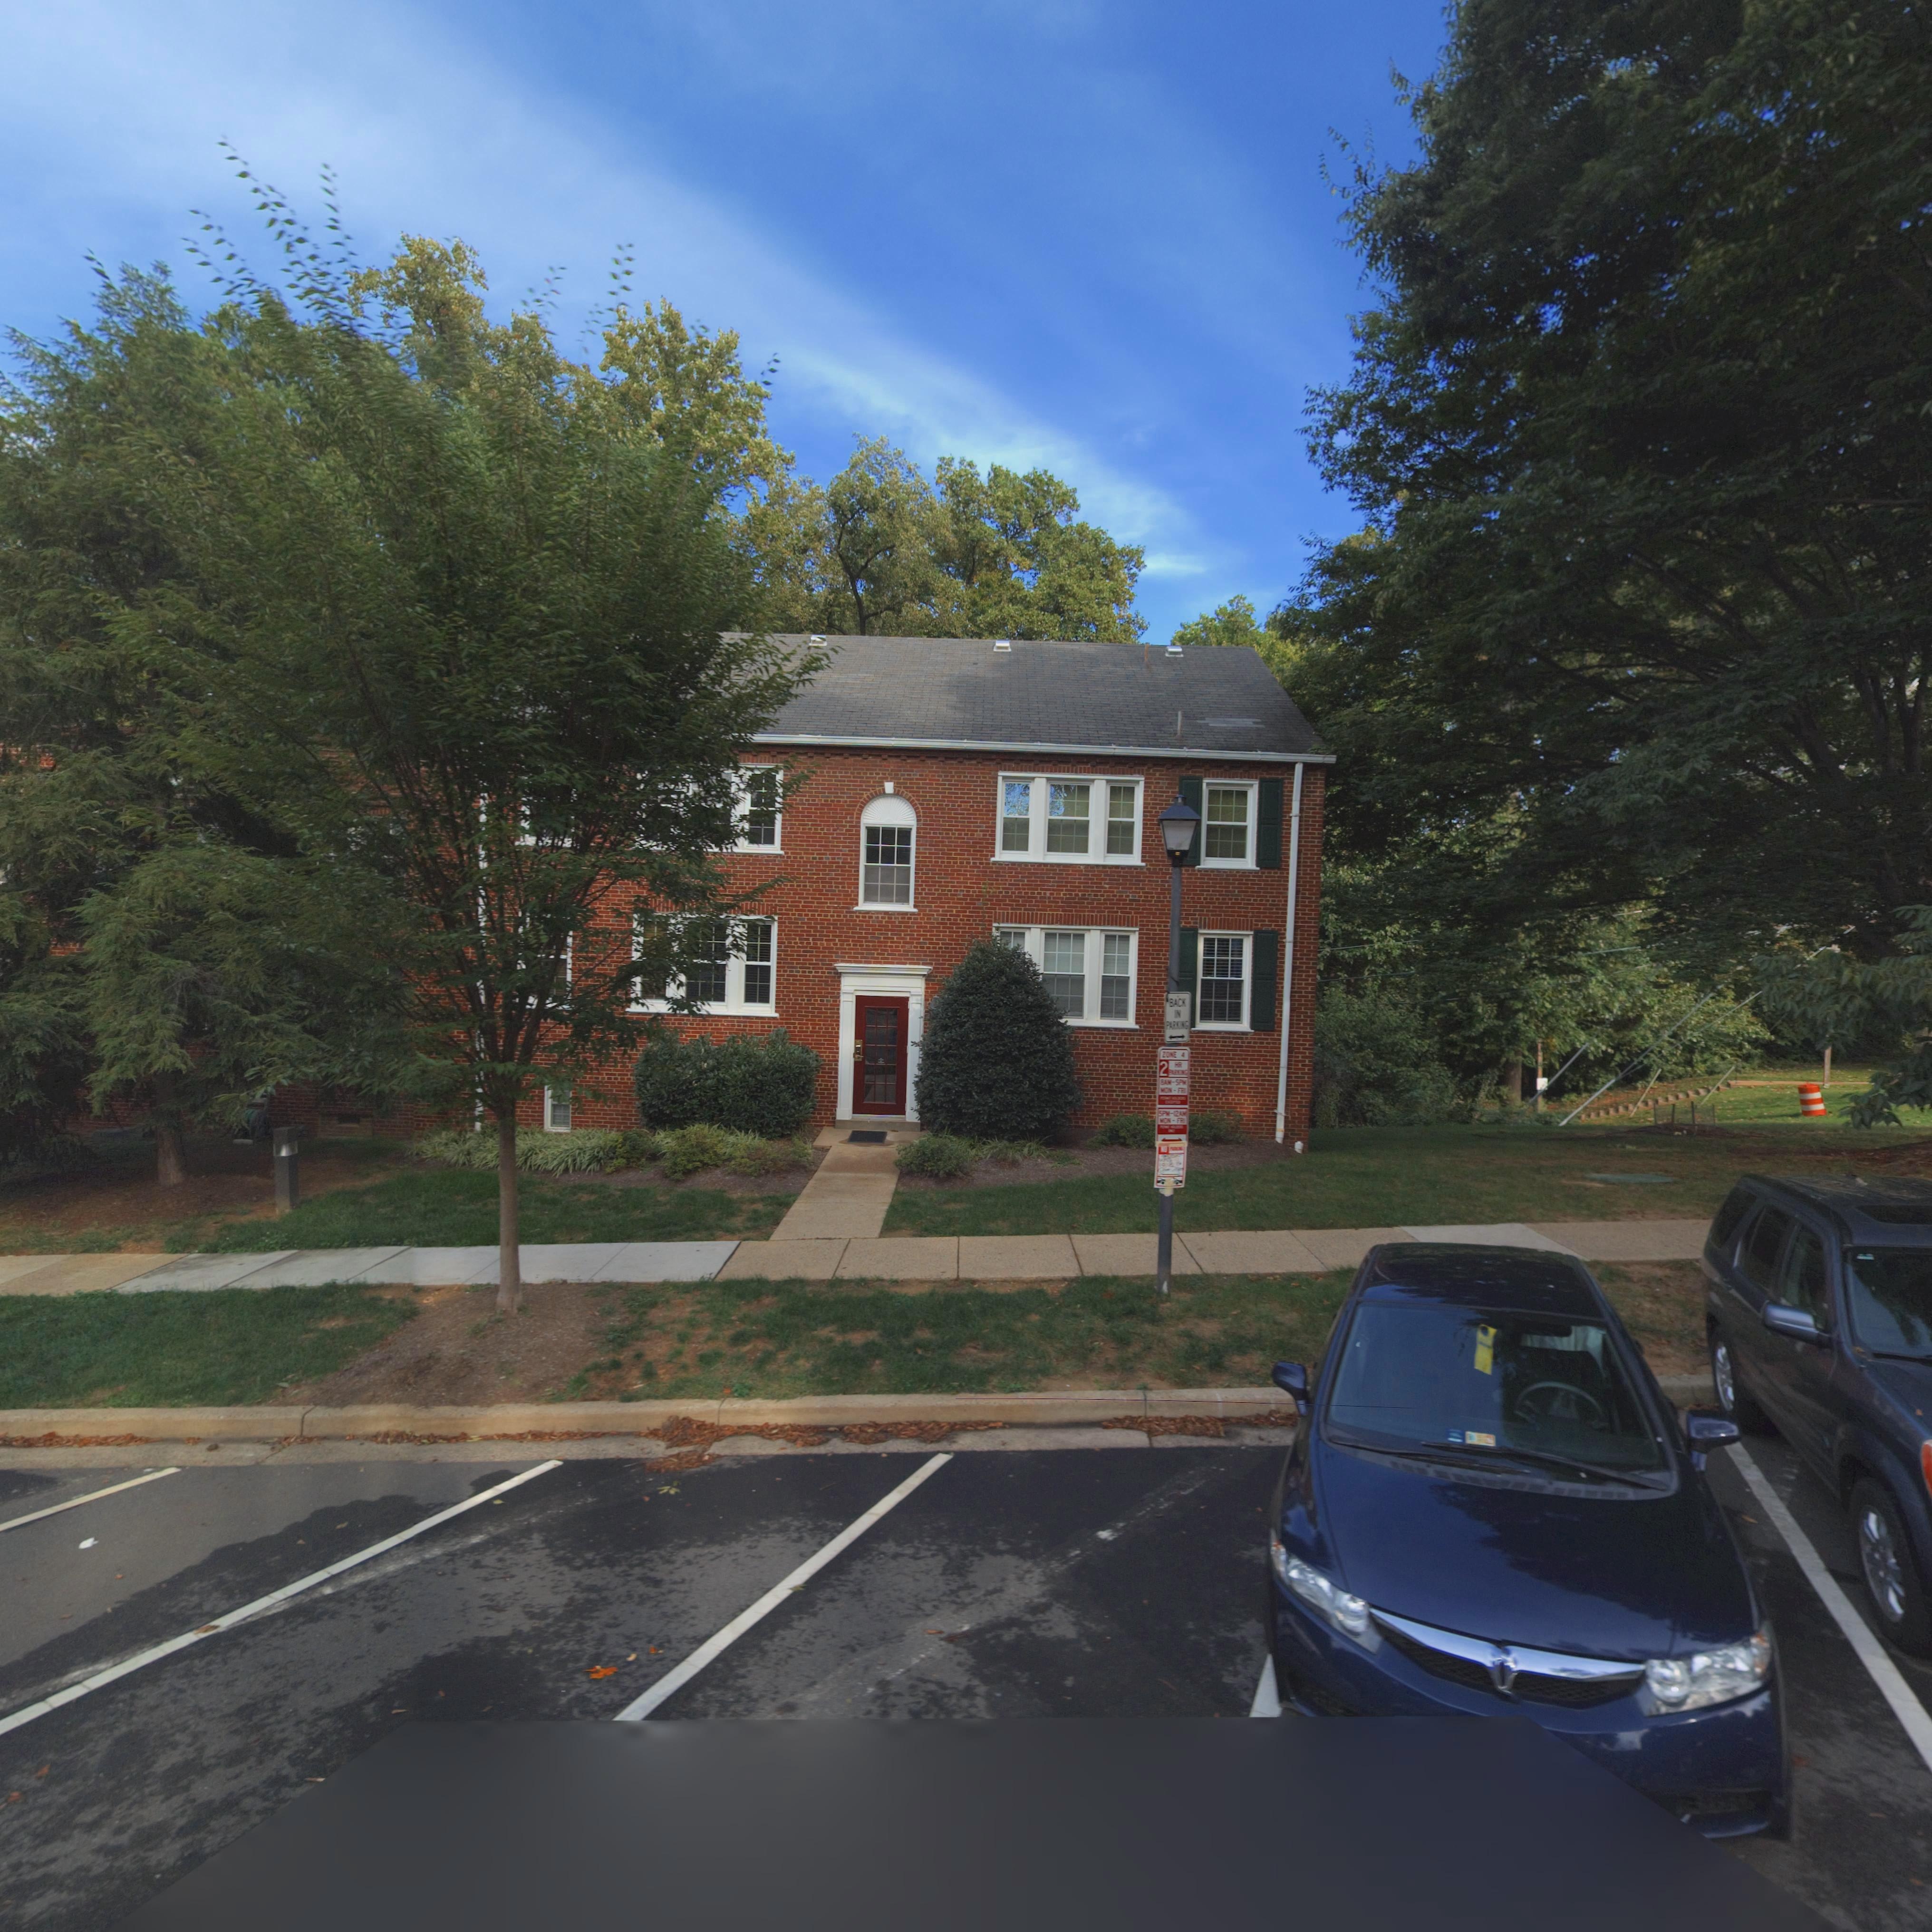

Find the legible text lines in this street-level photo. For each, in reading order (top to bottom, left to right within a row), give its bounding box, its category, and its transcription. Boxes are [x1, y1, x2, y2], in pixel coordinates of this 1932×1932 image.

[1168, 996, 1188, 1009] None: BACK
[1173, 1009, 1182, 1020] None: IN
[1163, 1019, 1190, 1031] None: PA****G
[1161, 1050, 1186, 1060] None: ZO*E 4
[1158, 1060, 1169, 1077] None: 2
[1174, 1061, 1184, 1069] None: HR
[1183, 1069, 1189, 1076] None: G
[1159, 1078, 1187, 1086] None: 8AM-5PM
[1159, 1086, 1187, 1095] None: MON-FRI
[1158, 1110, 1188, 1118] None: 5PM-12AM
[1158, 1116, 1187, 1124] None: MON-FRI